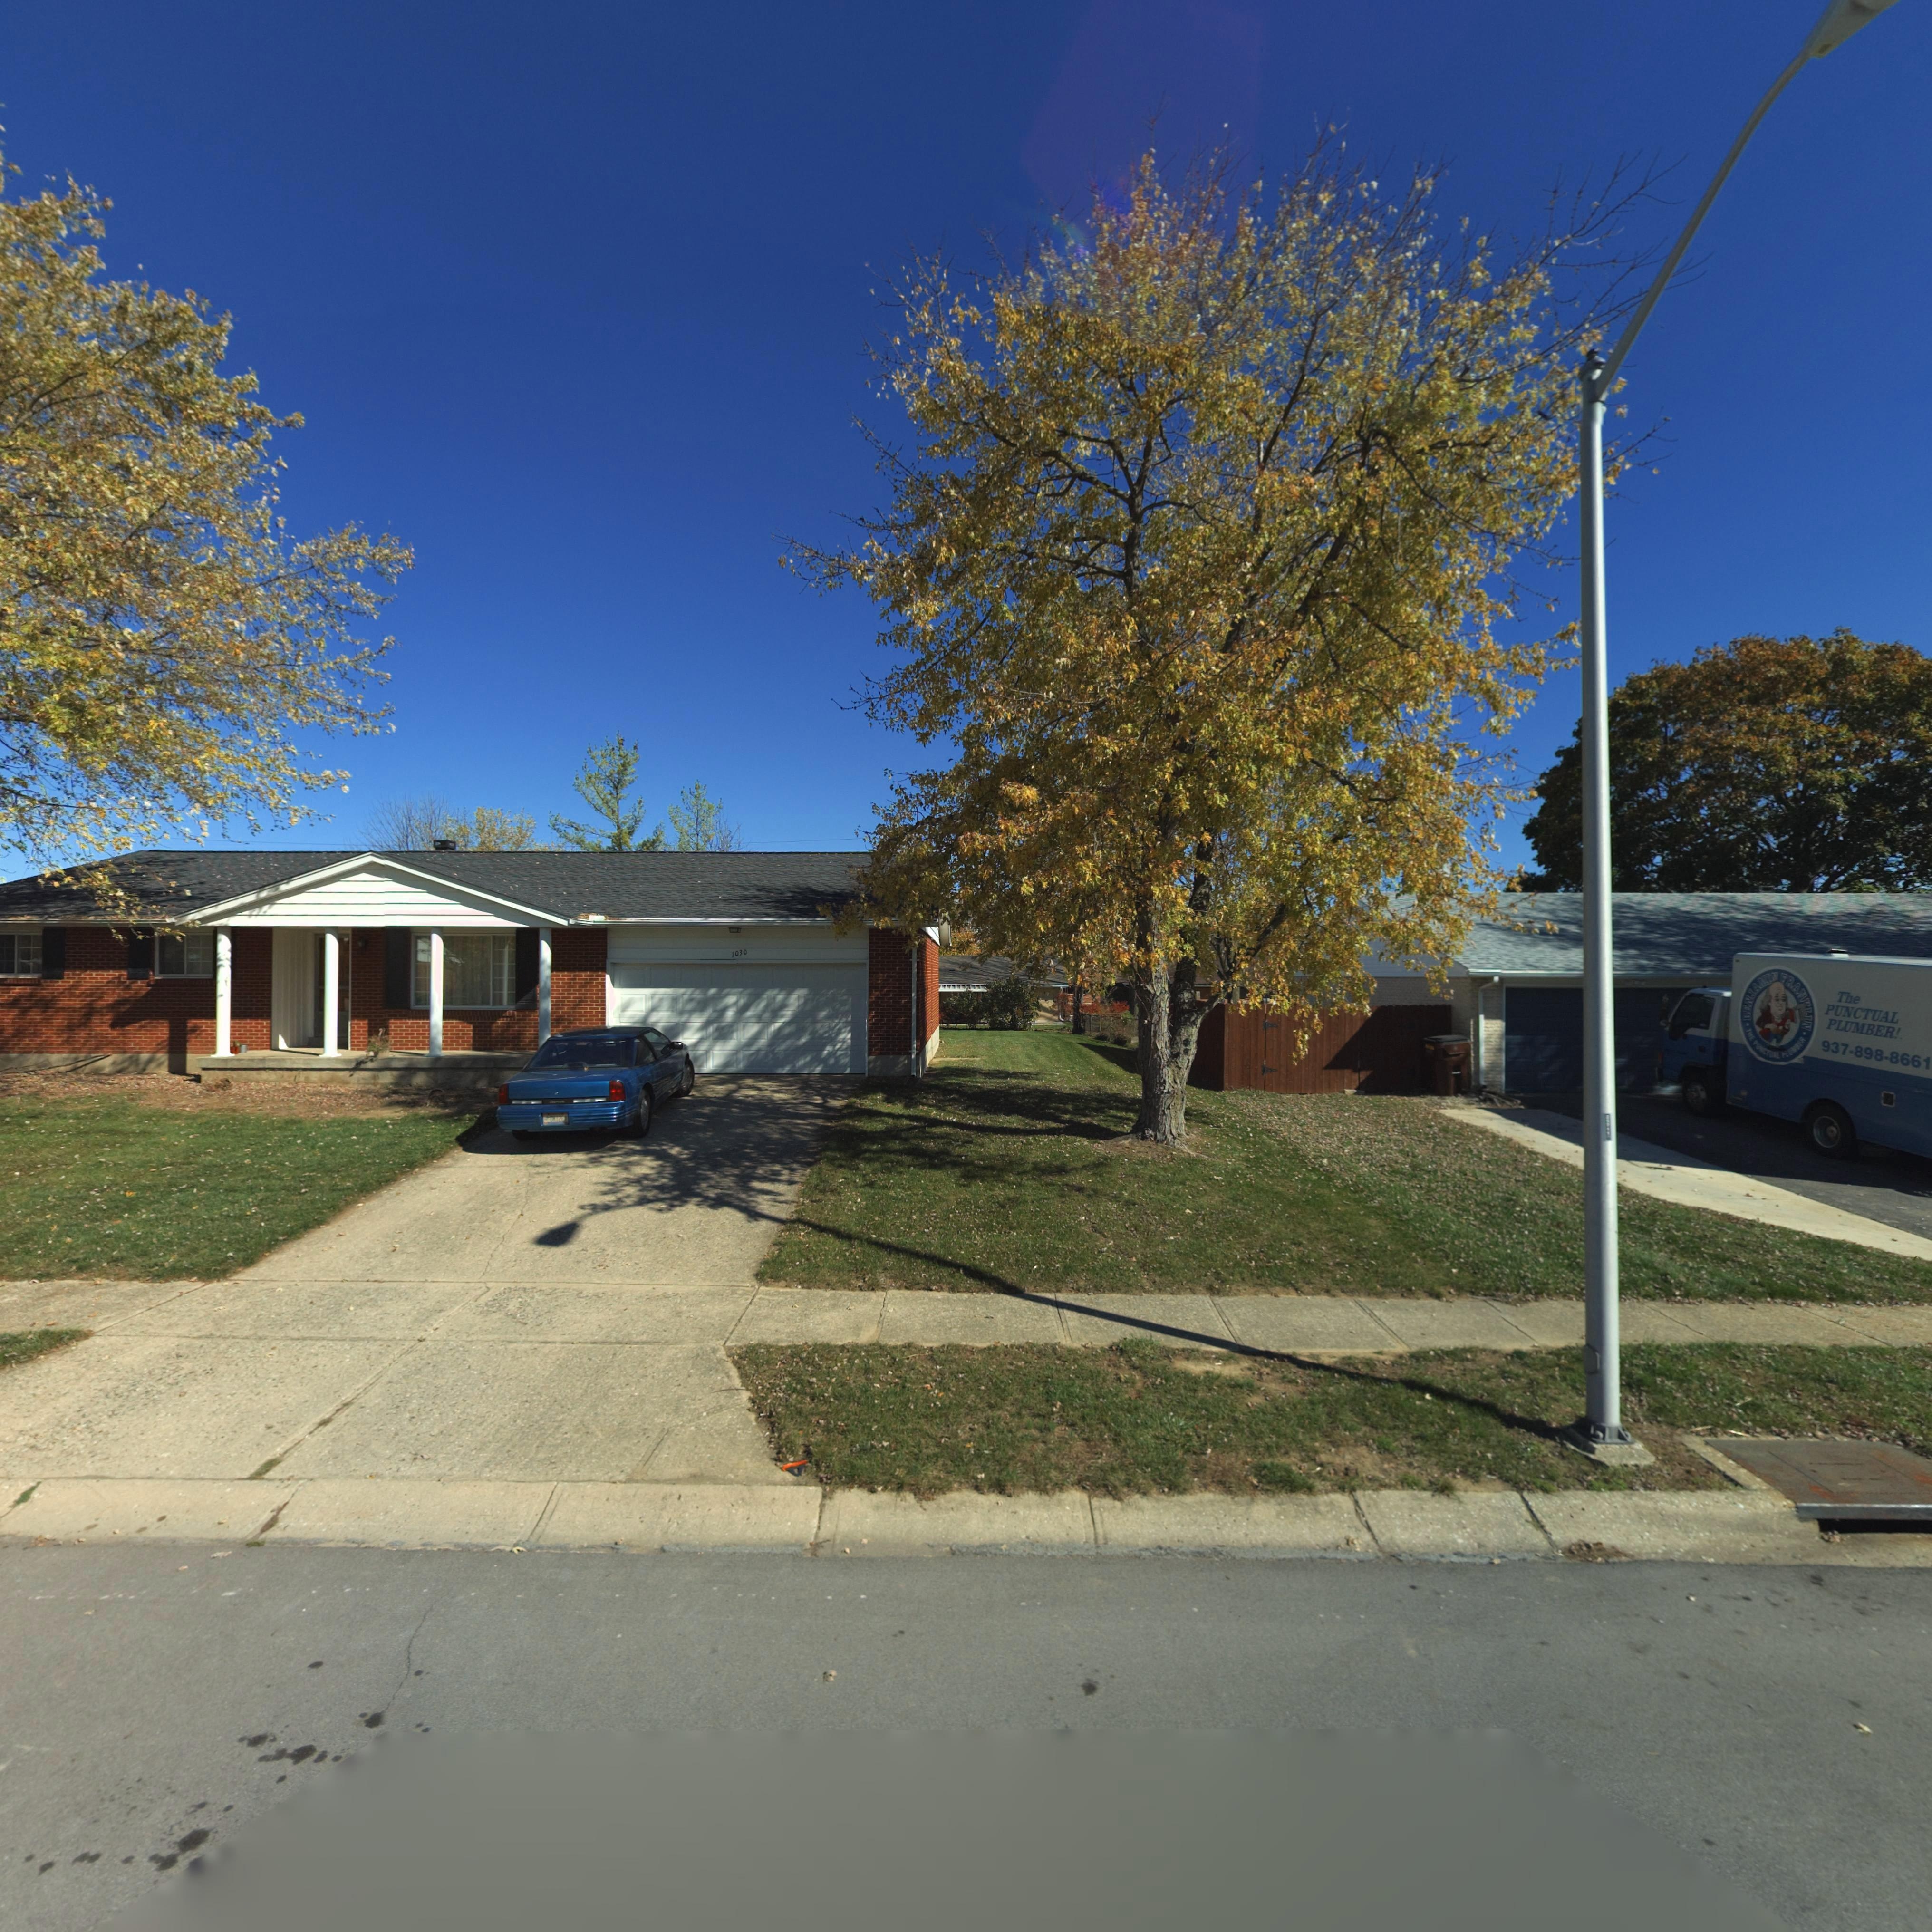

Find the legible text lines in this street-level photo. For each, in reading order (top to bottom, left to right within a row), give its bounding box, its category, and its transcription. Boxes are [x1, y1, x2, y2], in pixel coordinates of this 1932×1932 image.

[731, 948, 749, 959] StreetNumber: 1030